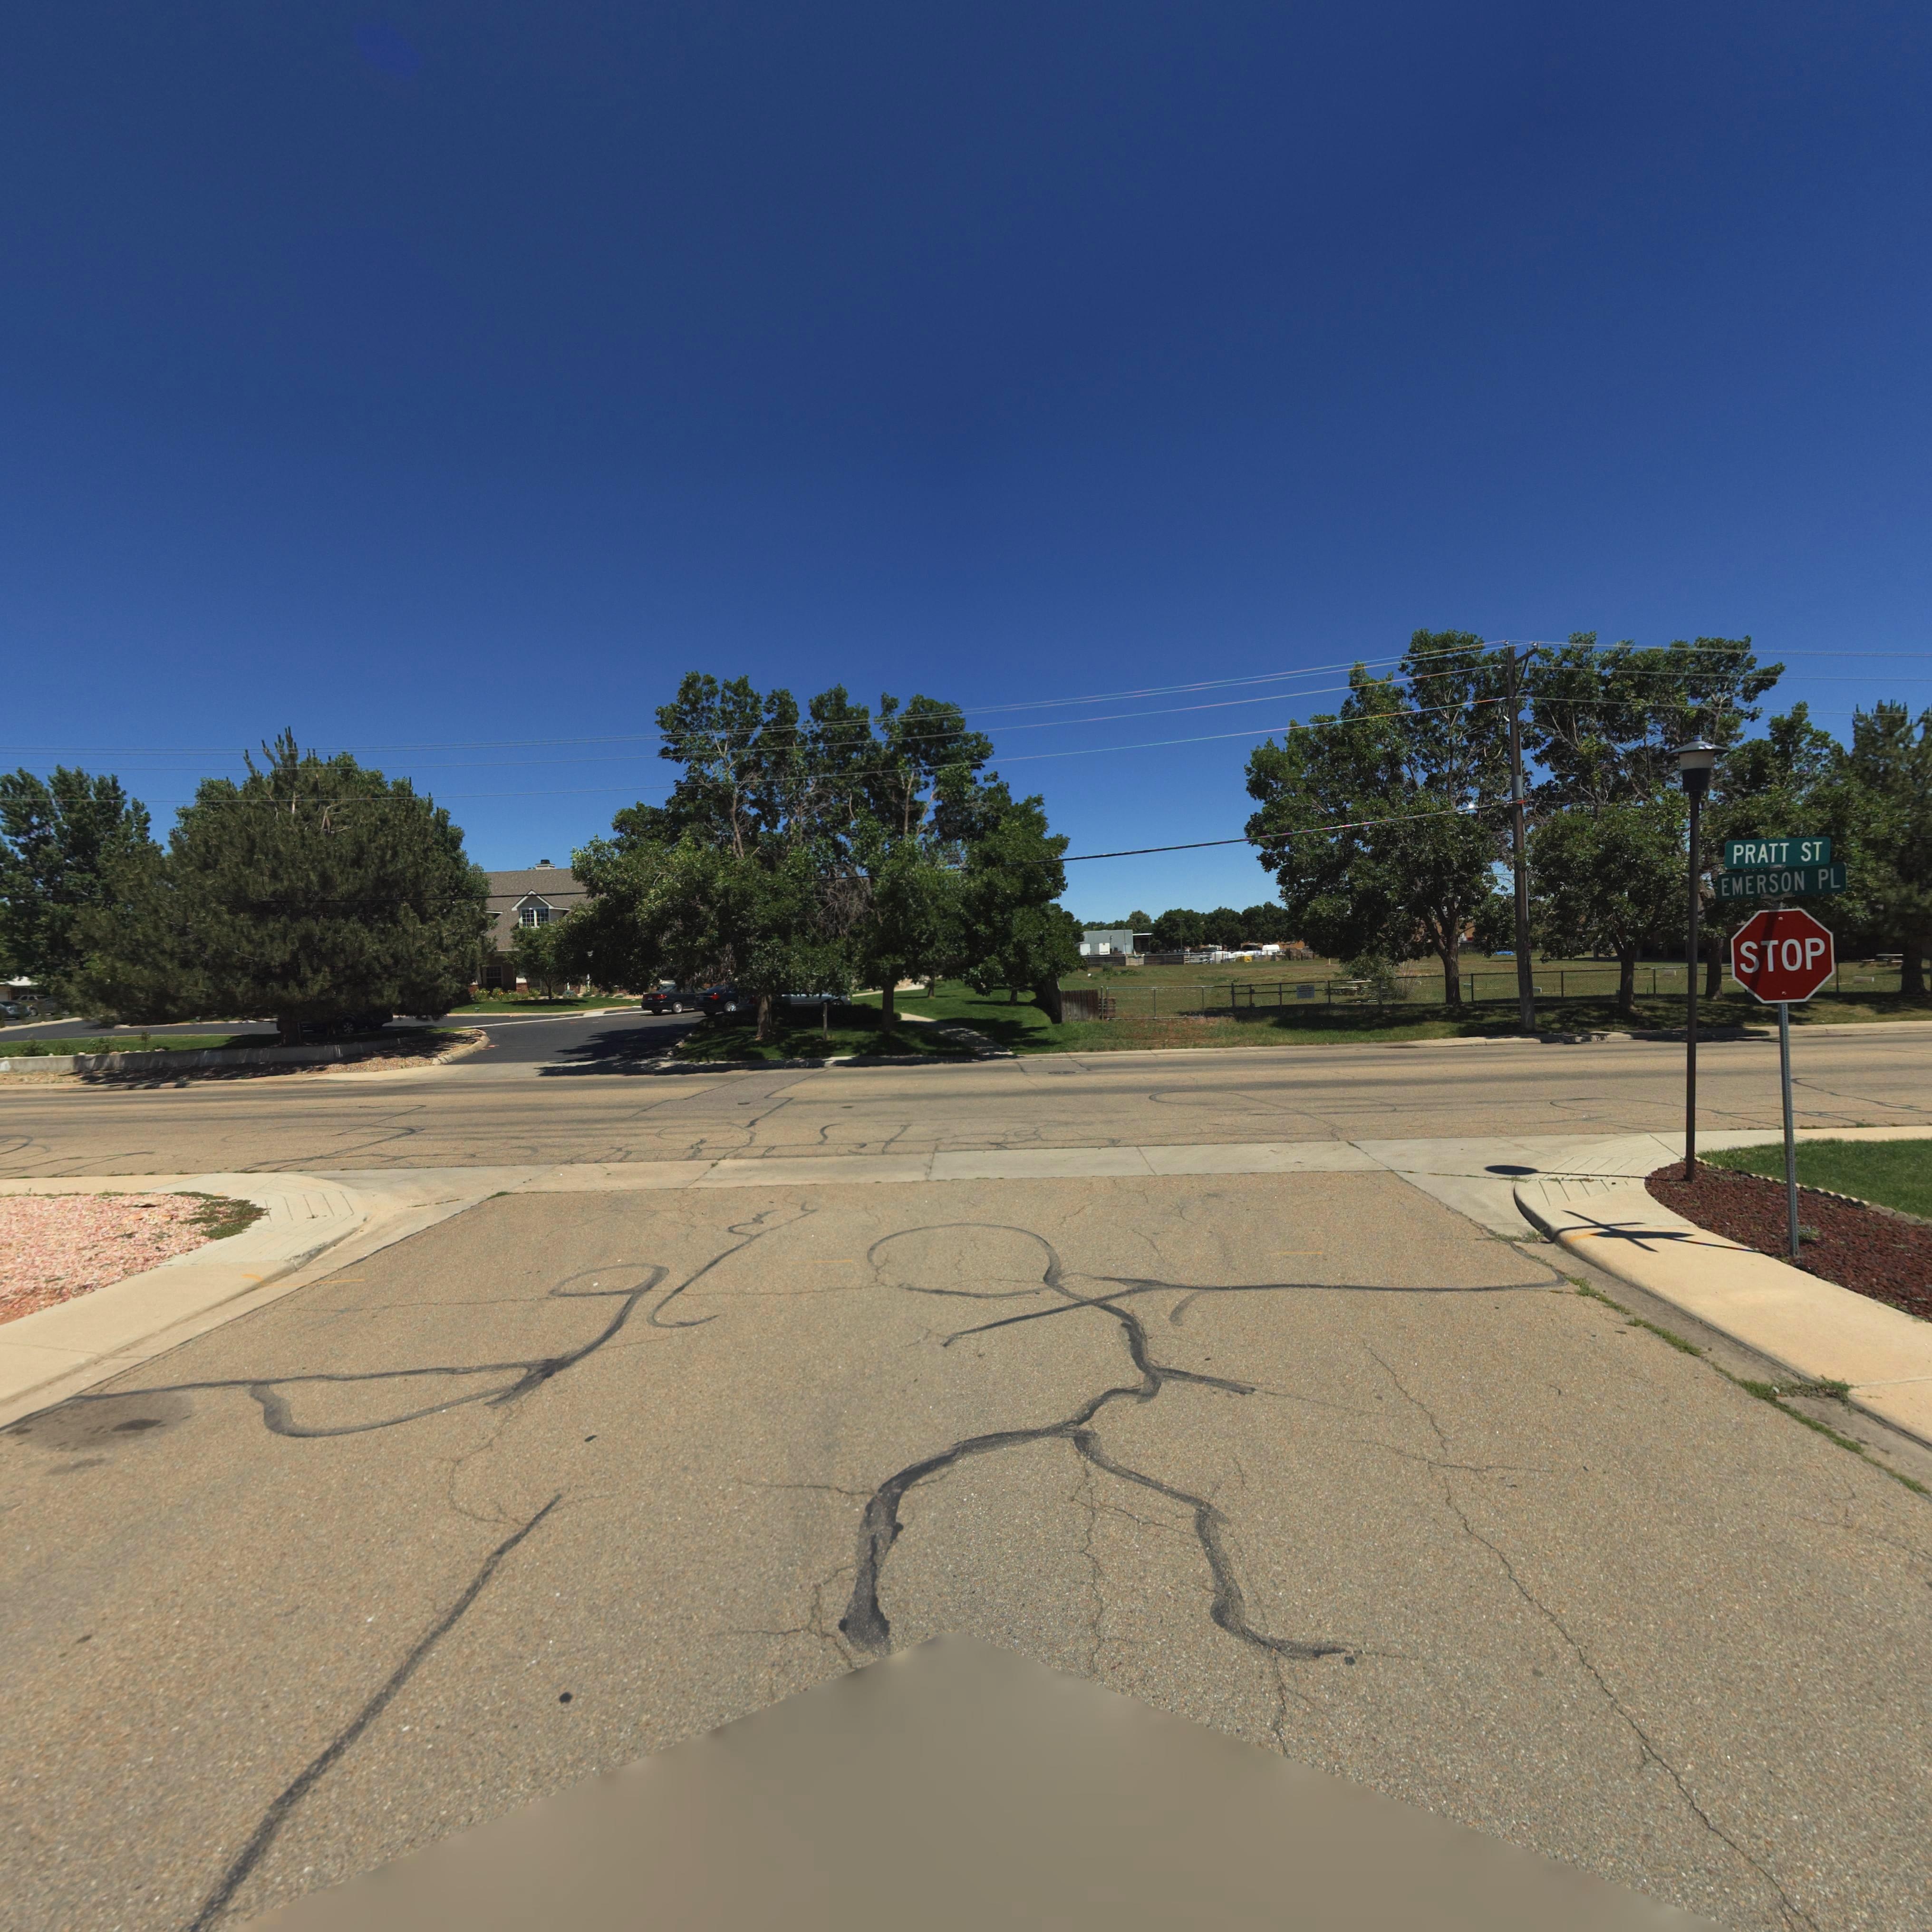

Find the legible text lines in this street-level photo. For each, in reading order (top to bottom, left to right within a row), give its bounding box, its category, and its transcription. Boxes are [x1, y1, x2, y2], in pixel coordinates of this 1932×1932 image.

[1732, 840, 1824, 865] StreetName: PRATT ST
[1720, 867, 1842, 897] StreetName: EMERSON PL